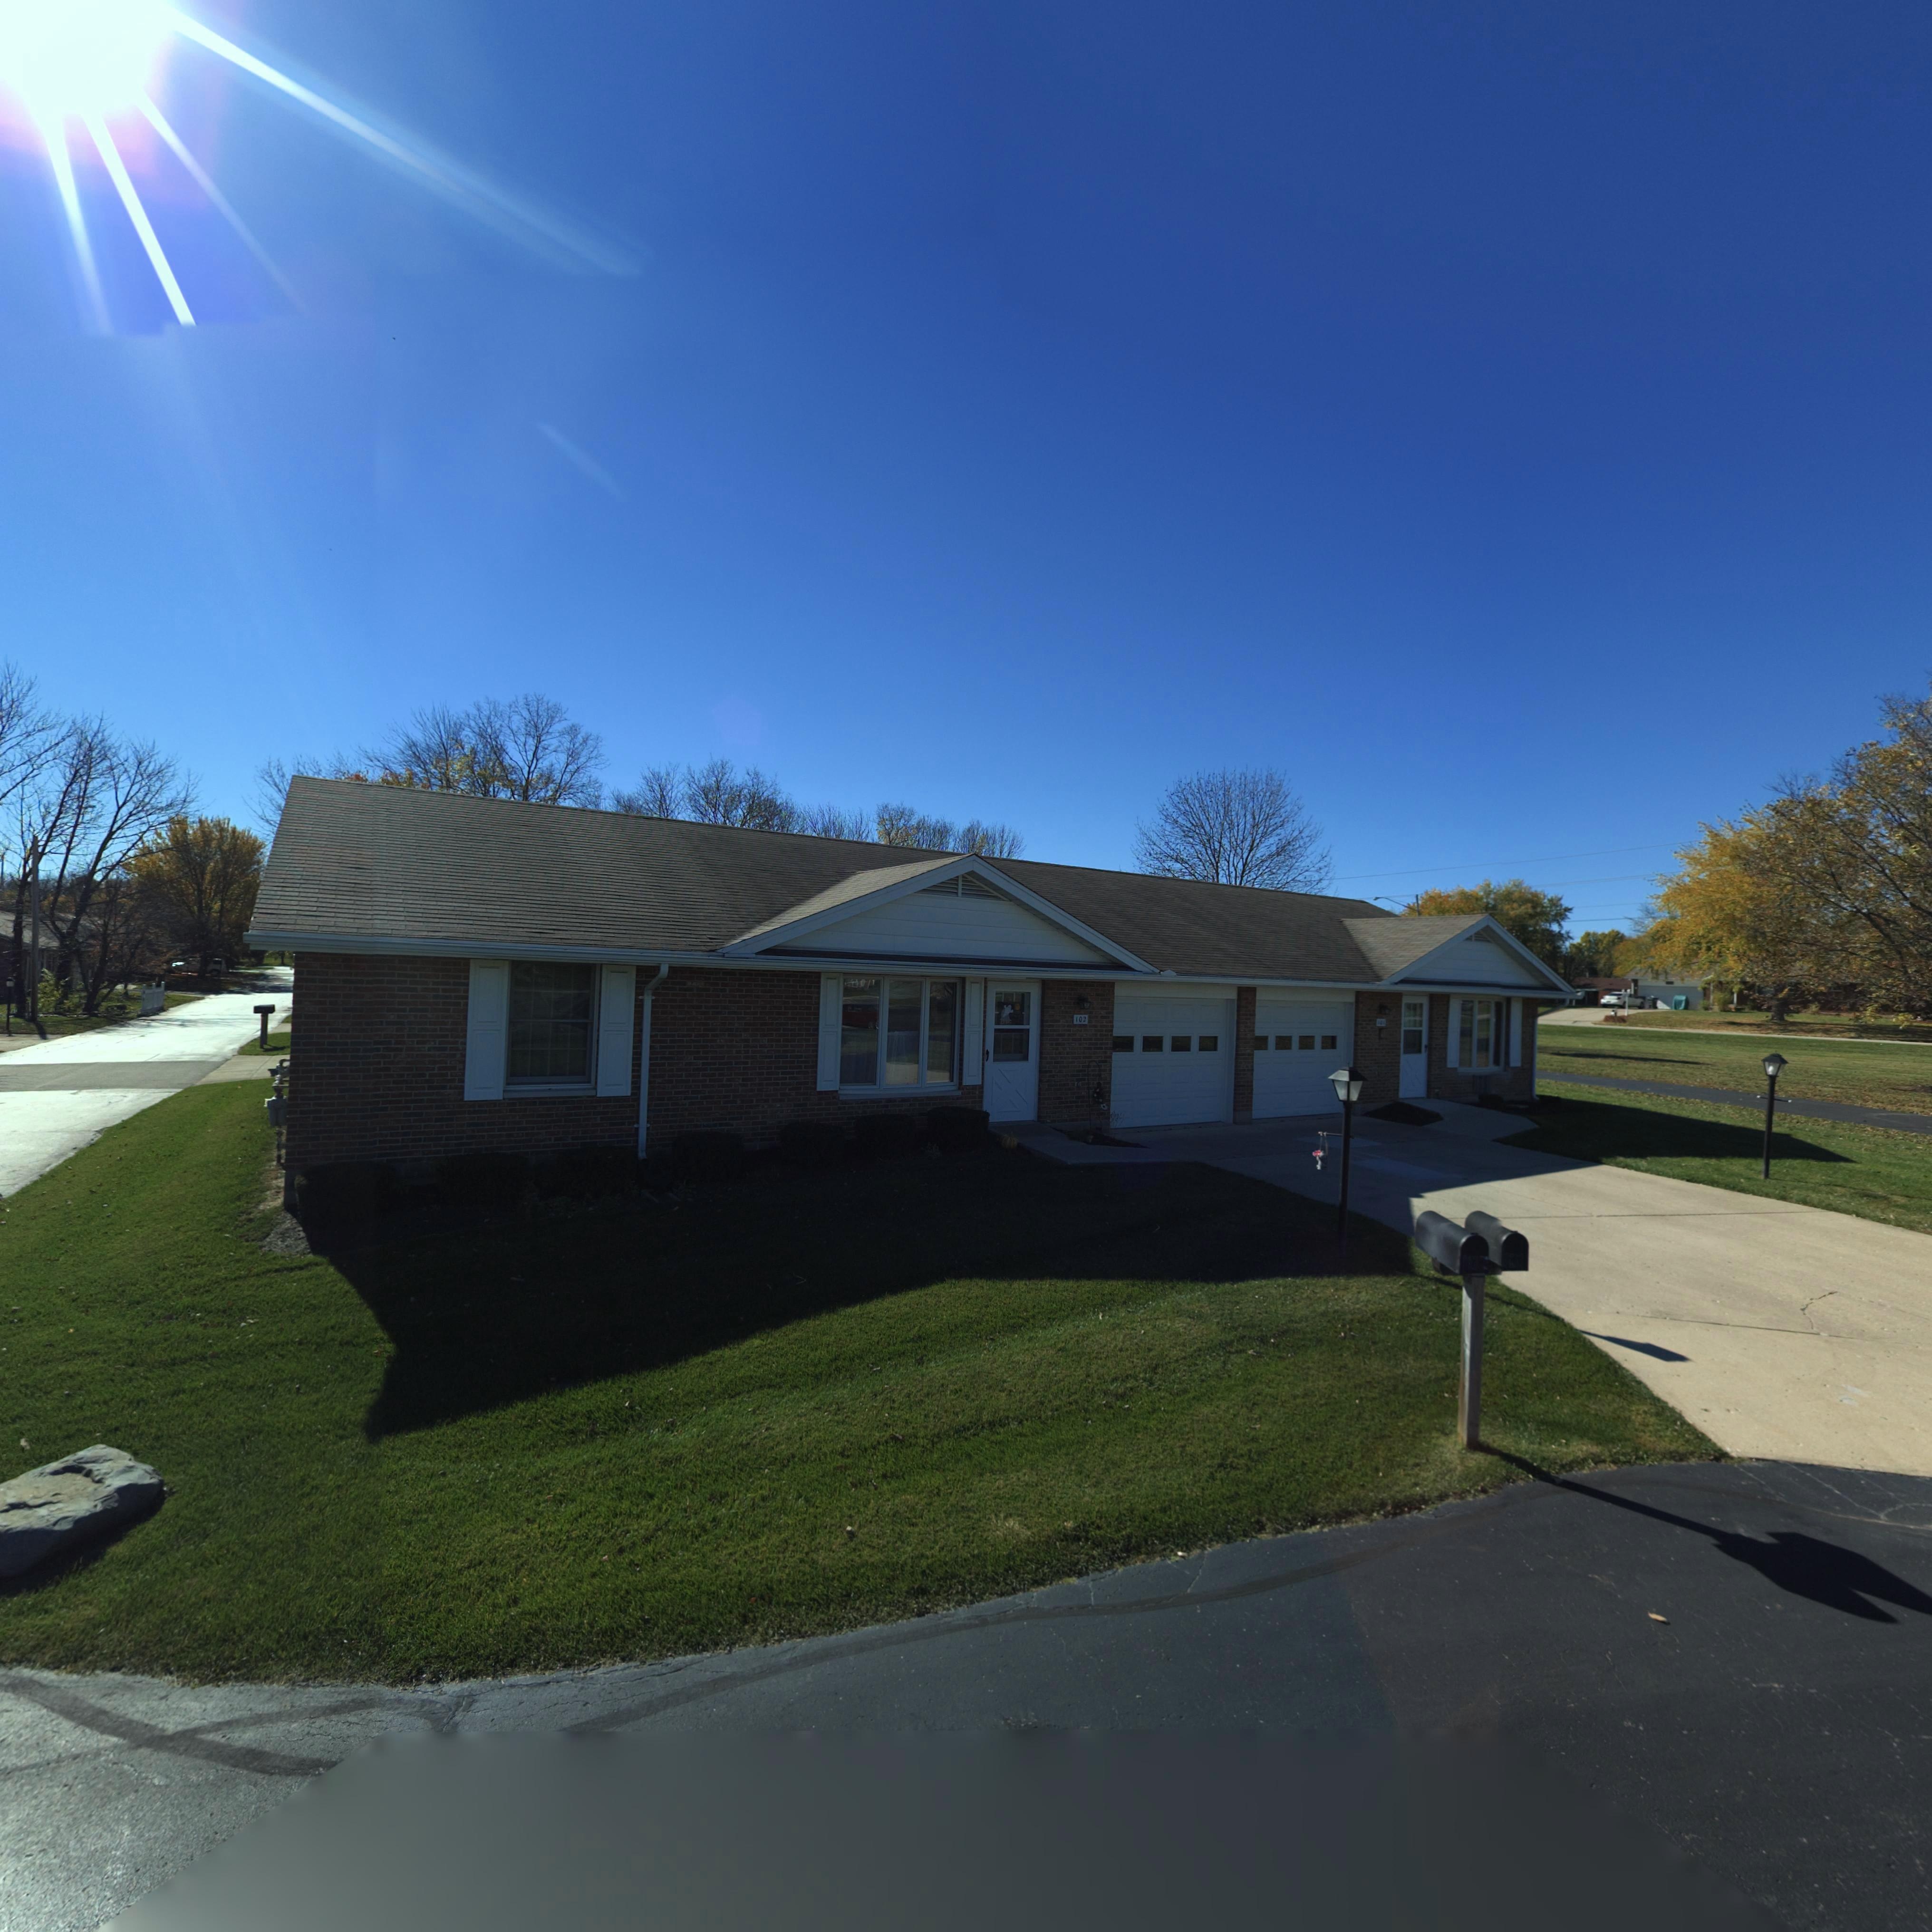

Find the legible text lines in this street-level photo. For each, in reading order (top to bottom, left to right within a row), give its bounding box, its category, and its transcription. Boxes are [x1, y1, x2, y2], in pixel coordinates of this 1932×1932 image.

[1075, 1015, 1087, 1024] StreetNumber: 102